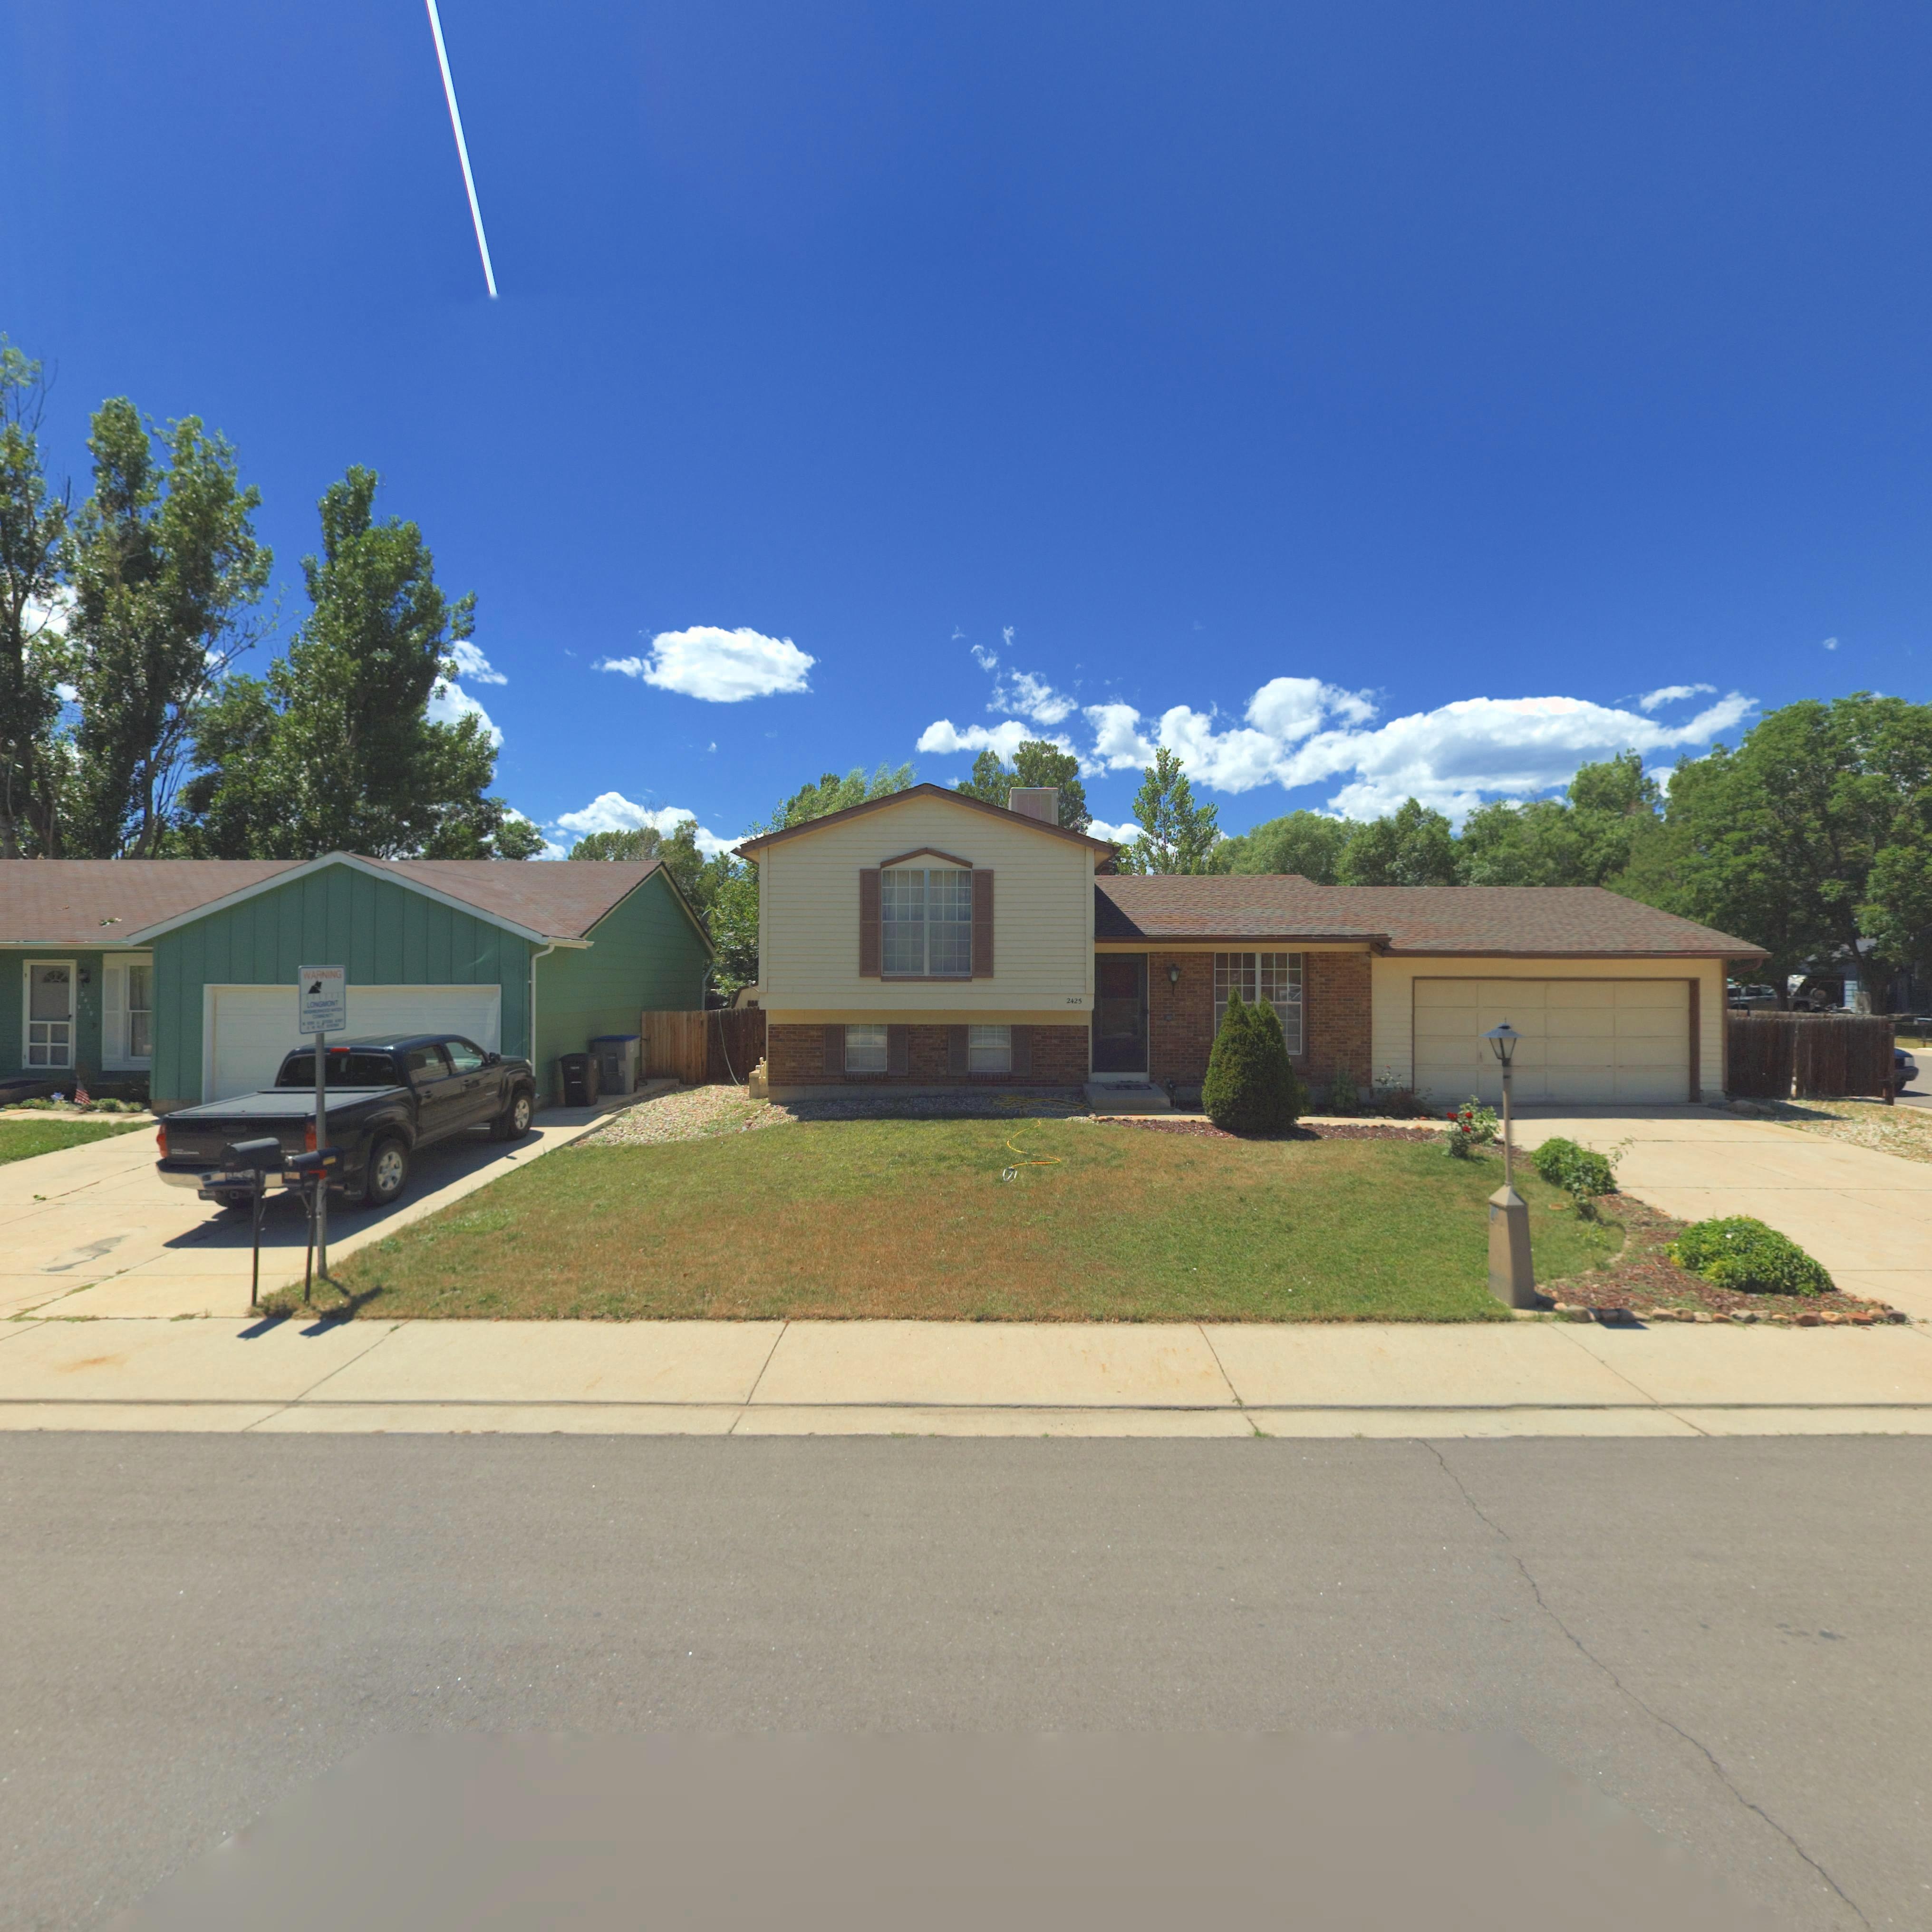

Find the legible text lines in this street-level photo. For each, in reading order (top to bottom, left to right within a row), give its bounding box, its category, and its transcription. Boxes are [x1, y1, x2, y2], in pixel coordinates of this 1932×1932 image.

[78, 990, 95, 1018] StreetNumber: 2***
[1066, 997, 1082, 1004] StreetNumber: 2425